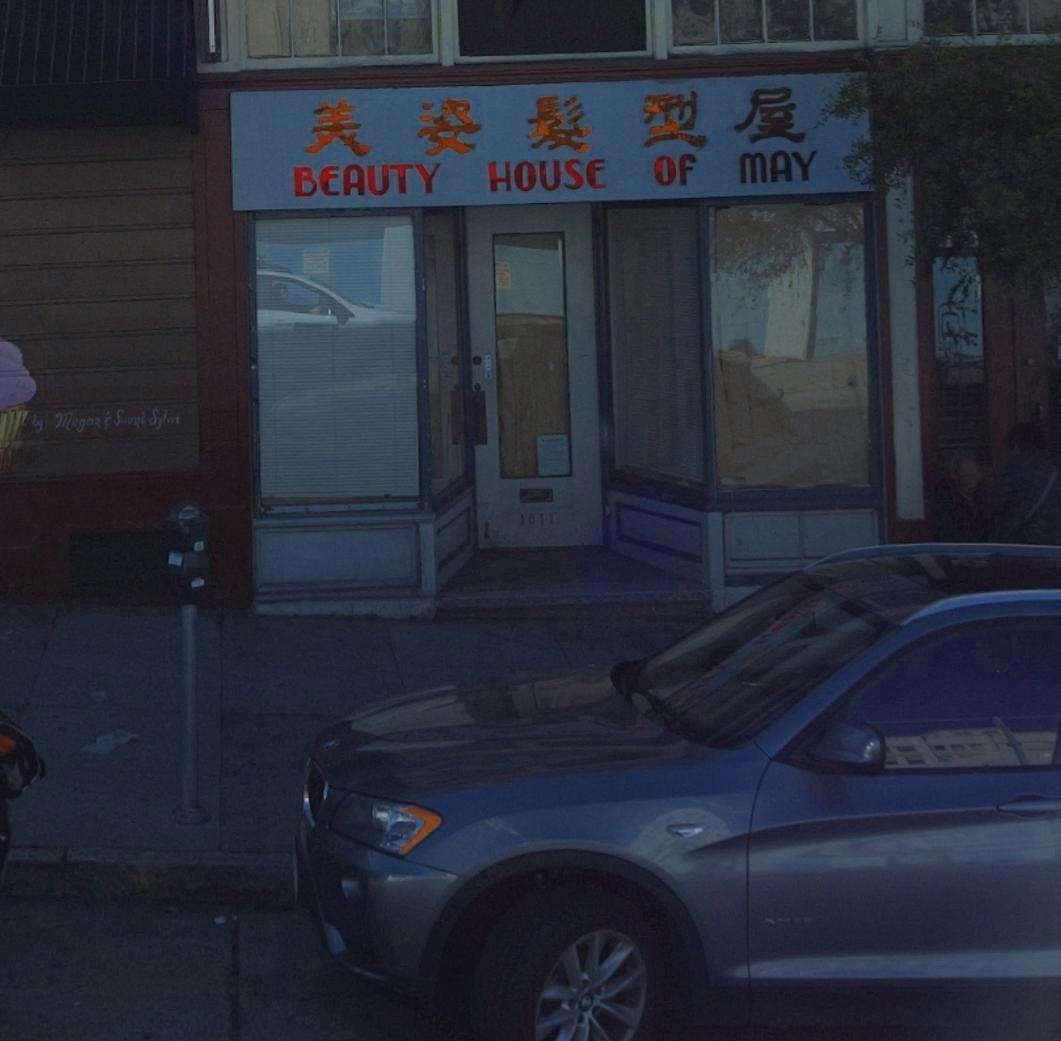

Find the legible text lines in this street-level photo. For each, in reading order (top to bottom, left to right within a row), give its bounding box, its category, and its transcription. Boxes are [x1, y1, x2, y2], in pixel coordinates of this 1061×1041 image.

[291, 147, 823, 200] BusinessName: BEAUTY HOUSE OF MAY
[29, 410, 101, 436] None: by Megan
[109, 407, 127, 427] None: S
[146, 407, 162, 427] None: S
[518, 510, 556, 527] StreetNumber: 1811